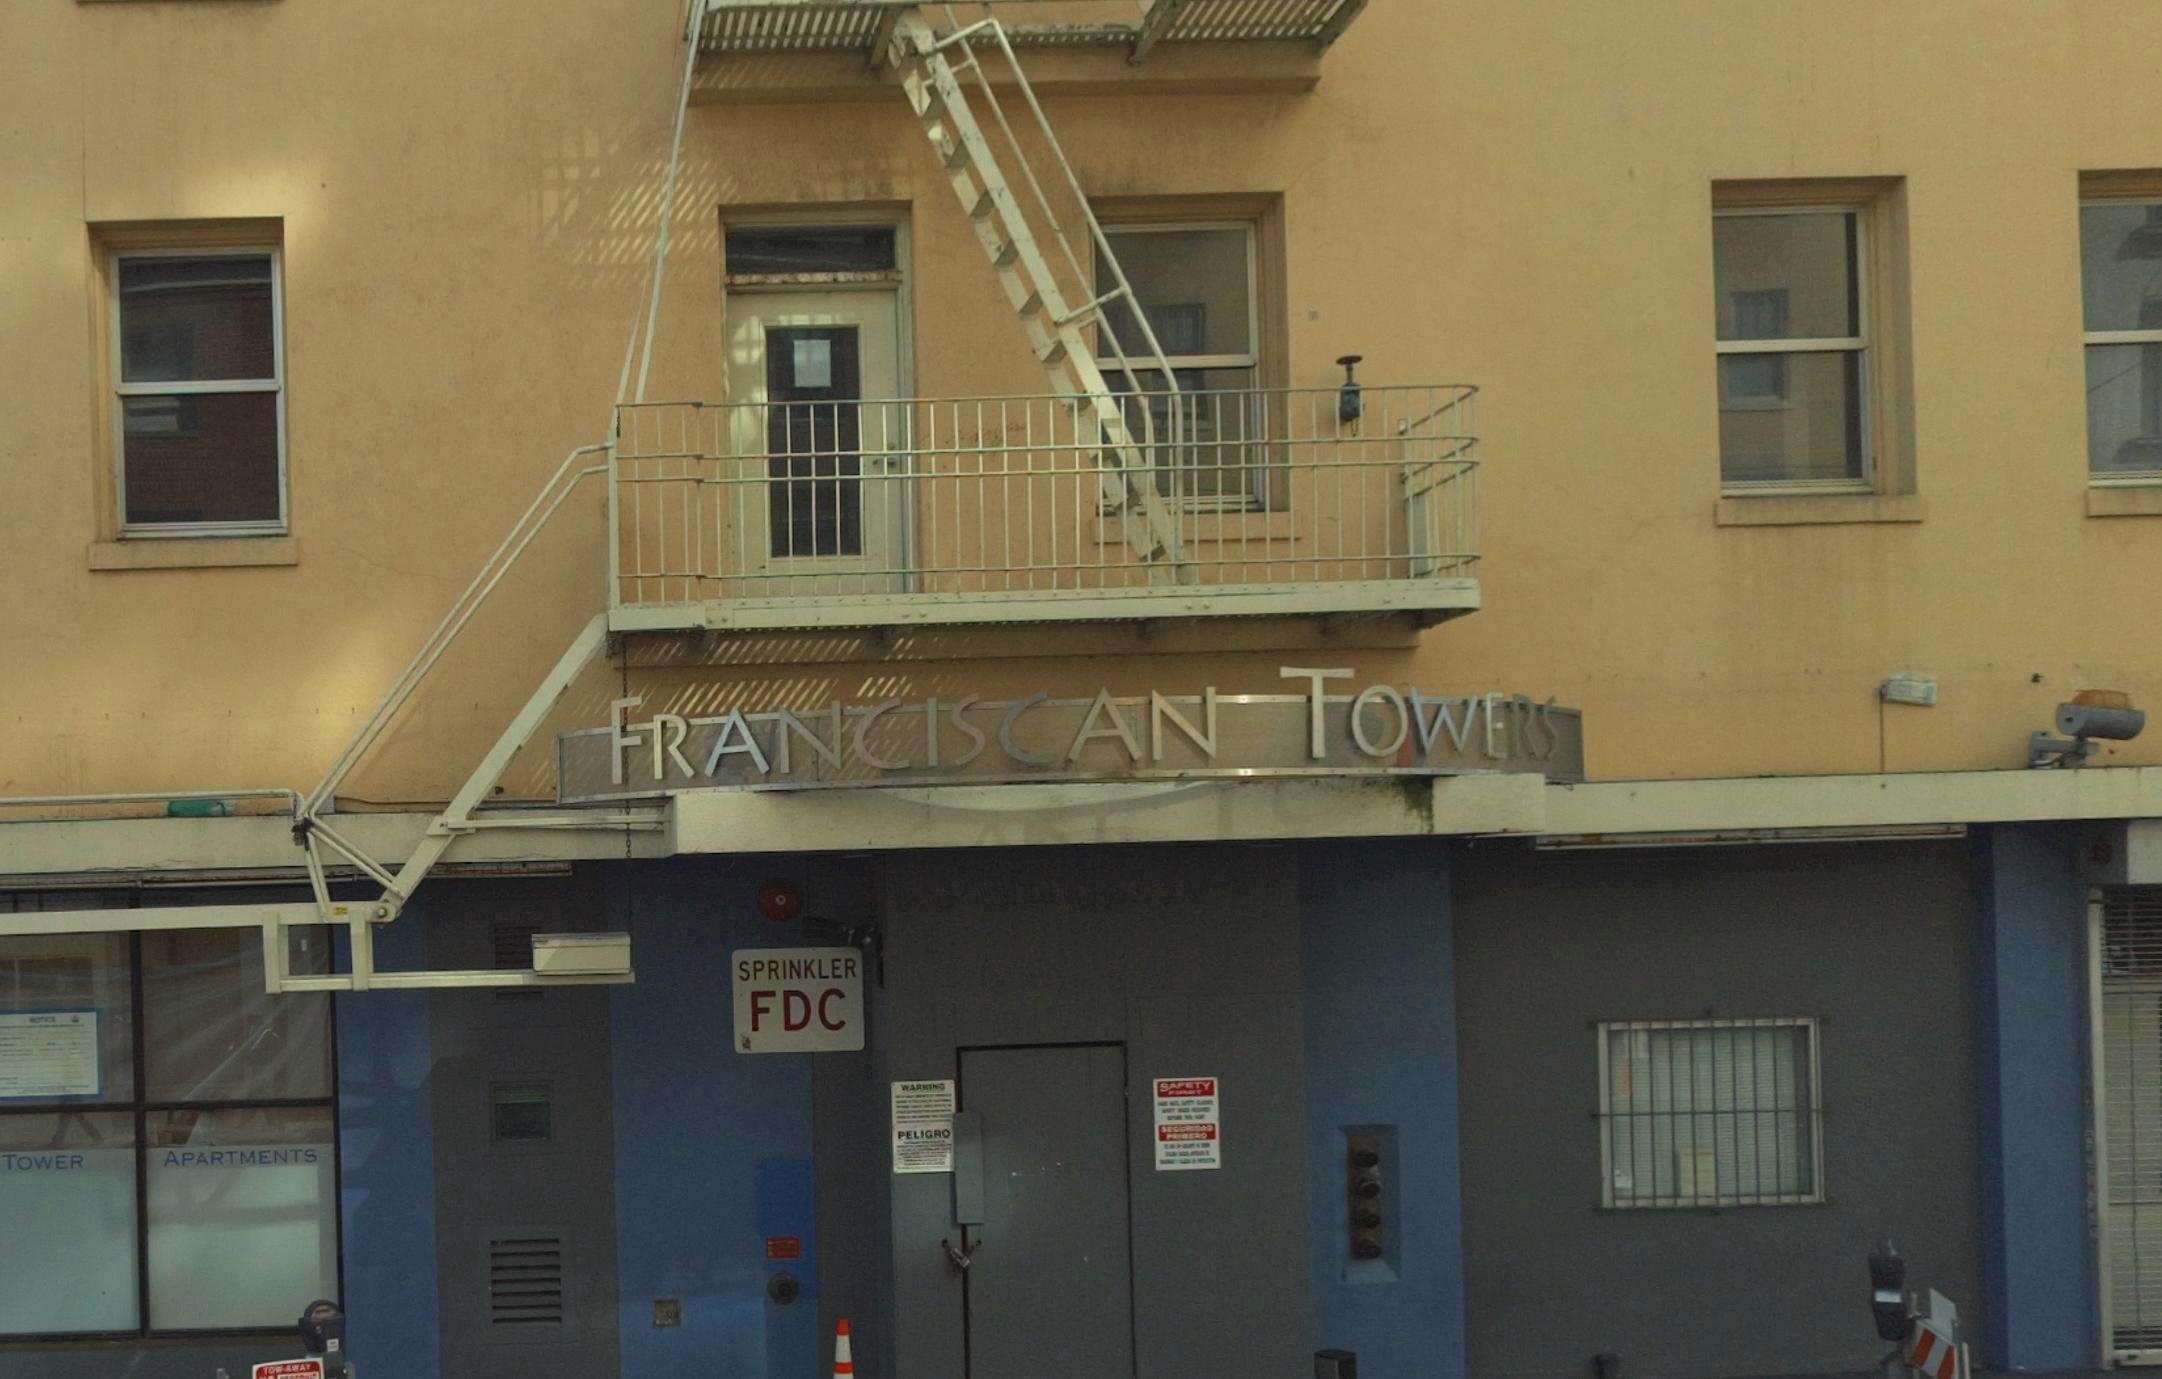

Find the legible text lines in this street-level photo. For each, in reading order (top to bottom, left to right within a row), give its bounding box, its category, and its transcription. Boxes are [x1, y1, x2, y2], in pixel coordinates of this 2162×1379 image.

[606, 661, 1564, 789] BusinessName: FRANCISAN TOWERS
[736, 954, 861, 985] None: SPRINKLER
[747, 984, 849, 1035] None: FDC
[1156, 1079, 1214, 1095] None: SAFETY
[895, 1126, 953, 1142] None: PELIGRO
[1, 1152, 88, 1173] None: TOWER
[161, 1146, 321, 1170] None: APARTMENTS
[260, 1361, 313, 1377] None: TOW-AWAY